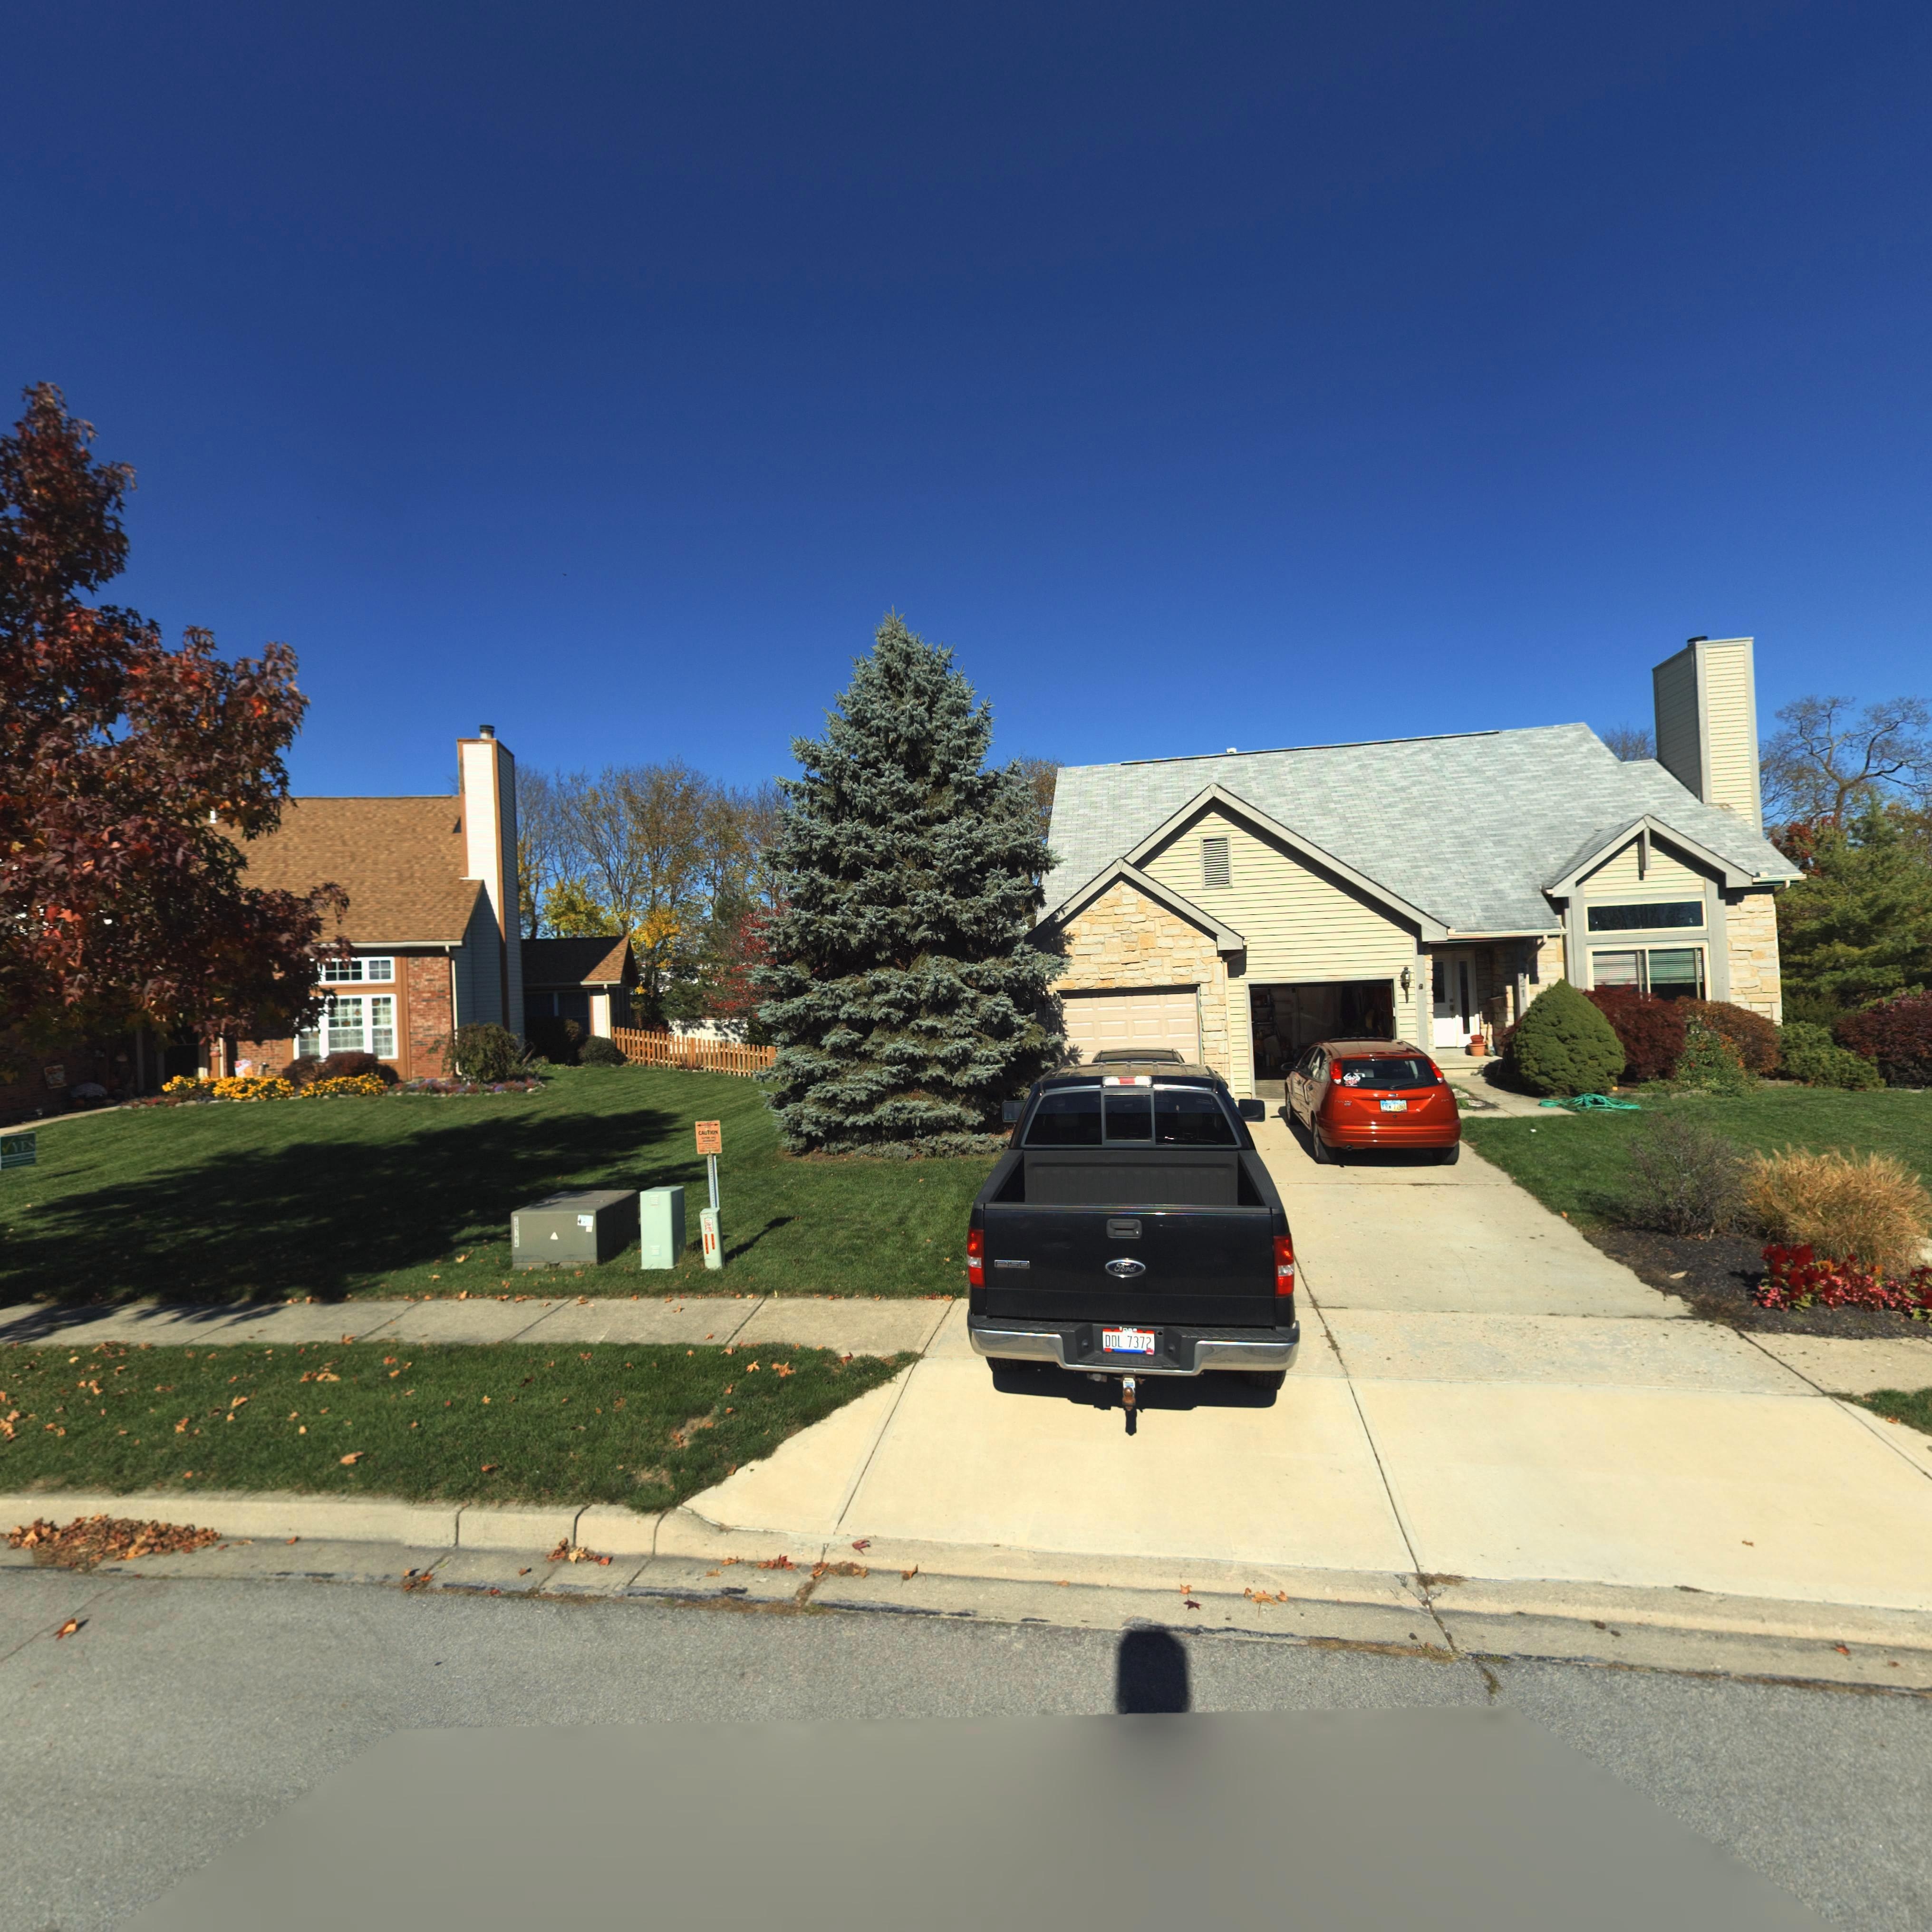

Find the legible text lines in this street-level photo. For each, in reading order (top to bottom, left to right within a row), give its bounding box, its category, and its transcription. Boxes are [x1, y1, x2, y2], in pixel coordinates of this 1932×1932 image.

[1518, 967, 1526, 999] StreetNumber: 321